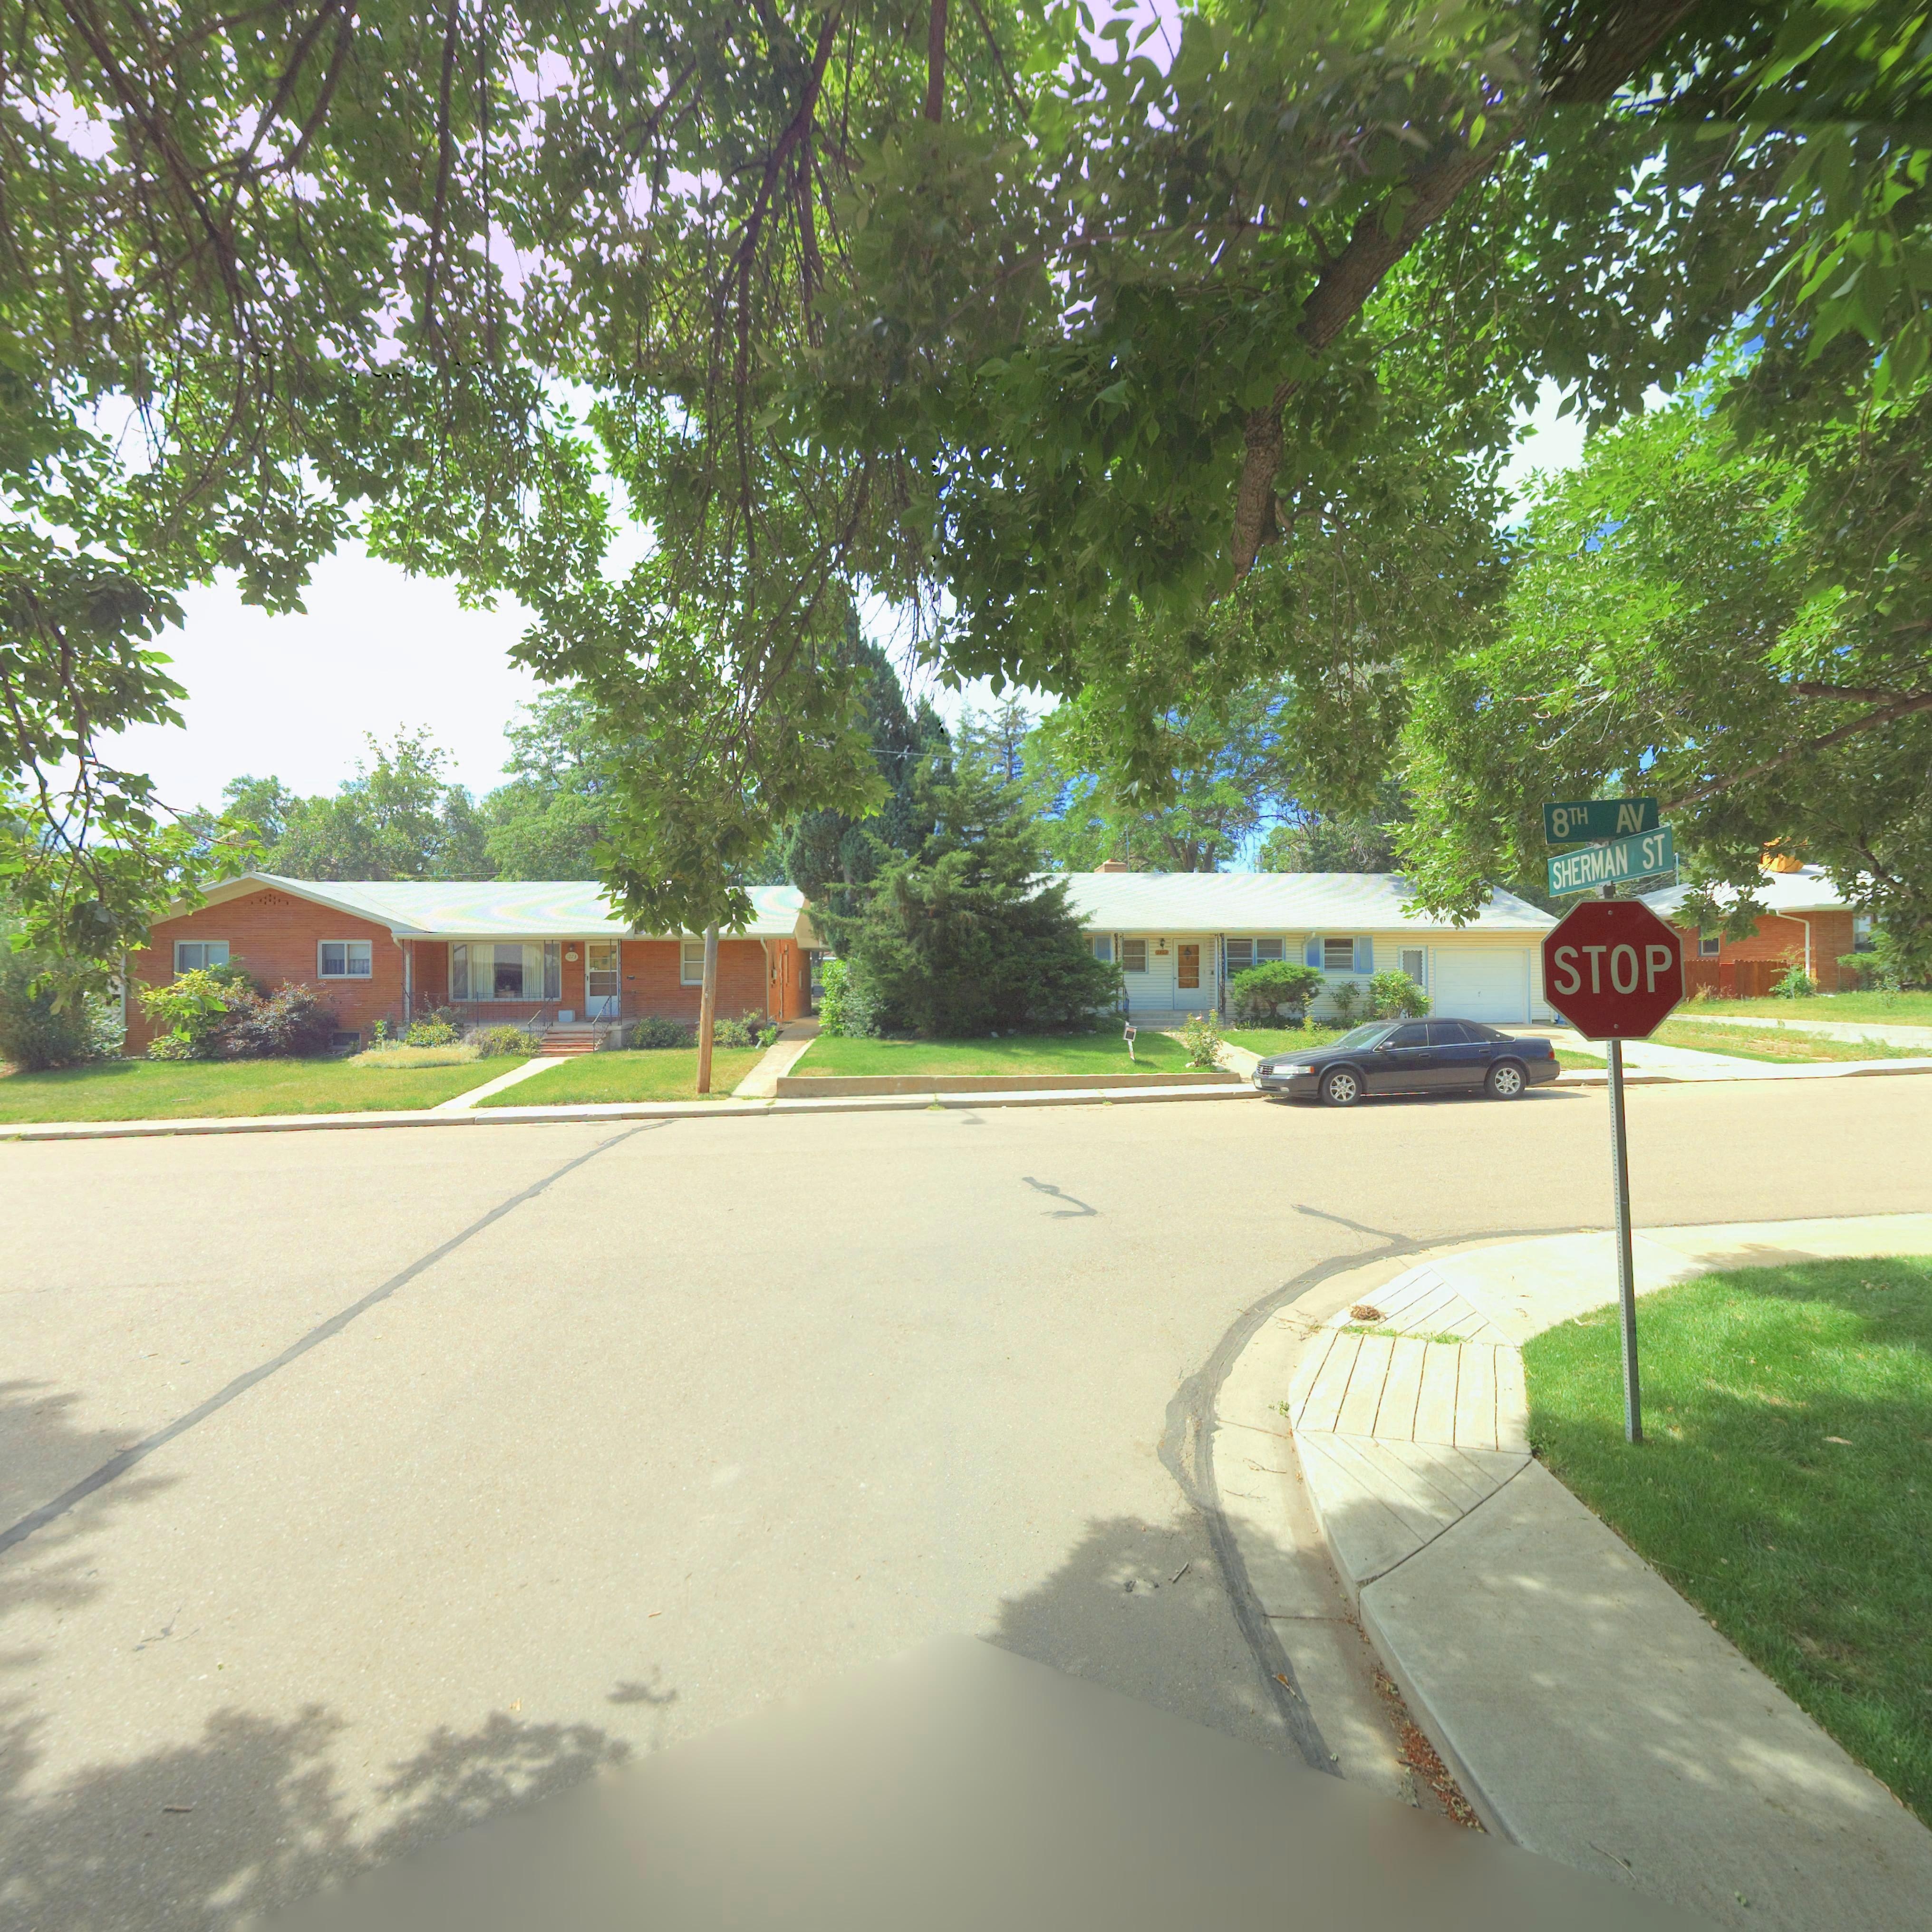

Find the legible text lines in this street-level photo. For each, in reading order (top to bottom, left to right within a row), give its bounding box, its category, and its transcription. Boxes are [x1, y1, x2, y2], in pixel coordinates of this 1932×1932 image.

[1552, 802, 1645, 838] StreetName: 8TH AV
[1552, 831, 1666, 890] StreetName: SHERMAN ST
[566, 954, 577, 958] StreetNumber: 12**